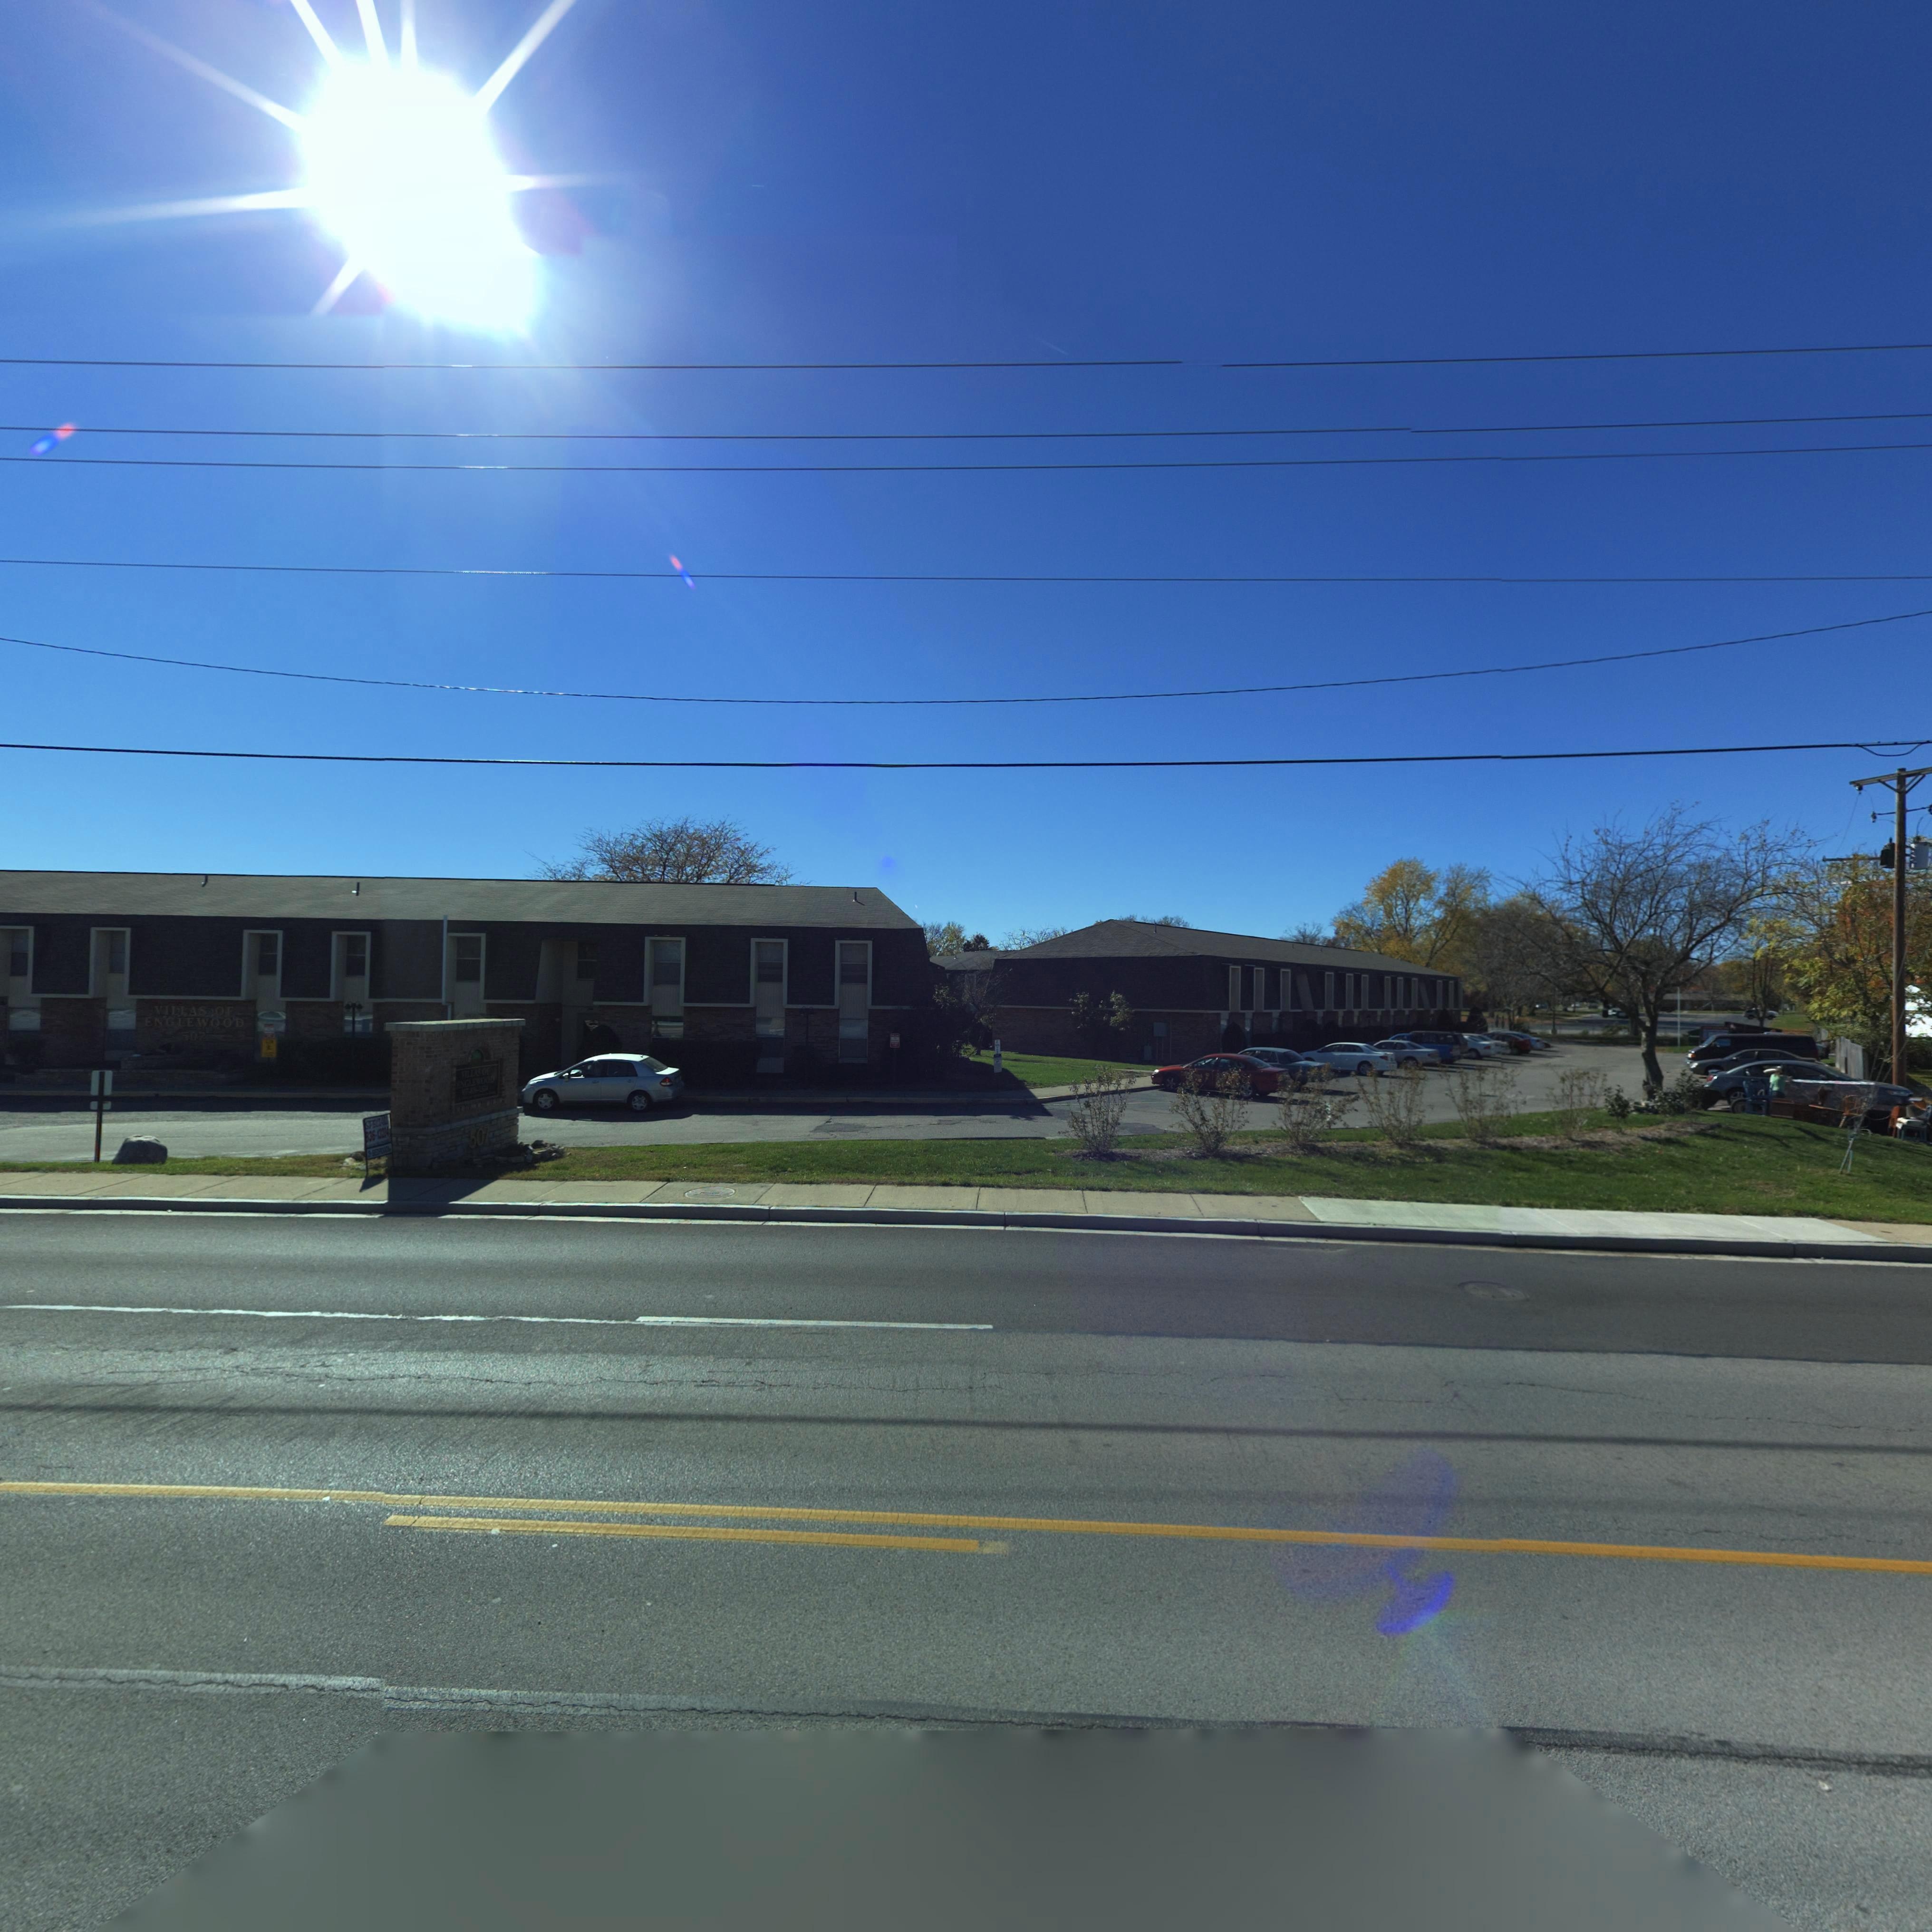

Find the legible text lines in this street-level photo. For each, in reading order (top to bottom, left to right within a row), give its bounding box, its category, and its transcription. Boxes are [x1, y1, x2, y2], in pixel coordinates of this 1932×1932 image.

[154, 1004, 235, 1018] BusinessName: VILLAS OF
[144, 1016, 245, 1028] BusinessName: ENGLEWOOD
[180, 1030, 208, 1043] StreetNumber: 507
[460, 1066, 492, 1080] BusinessName: VILLAS OF
[455, 1074, 495, 1090] BusinessName: ENGLEWOOD
[364, 1118, 377, 1131] None: SPE
[364, 1129, 377, 1144] None: 836
[467, 1124, 491, 1151] StreetNumber: 507